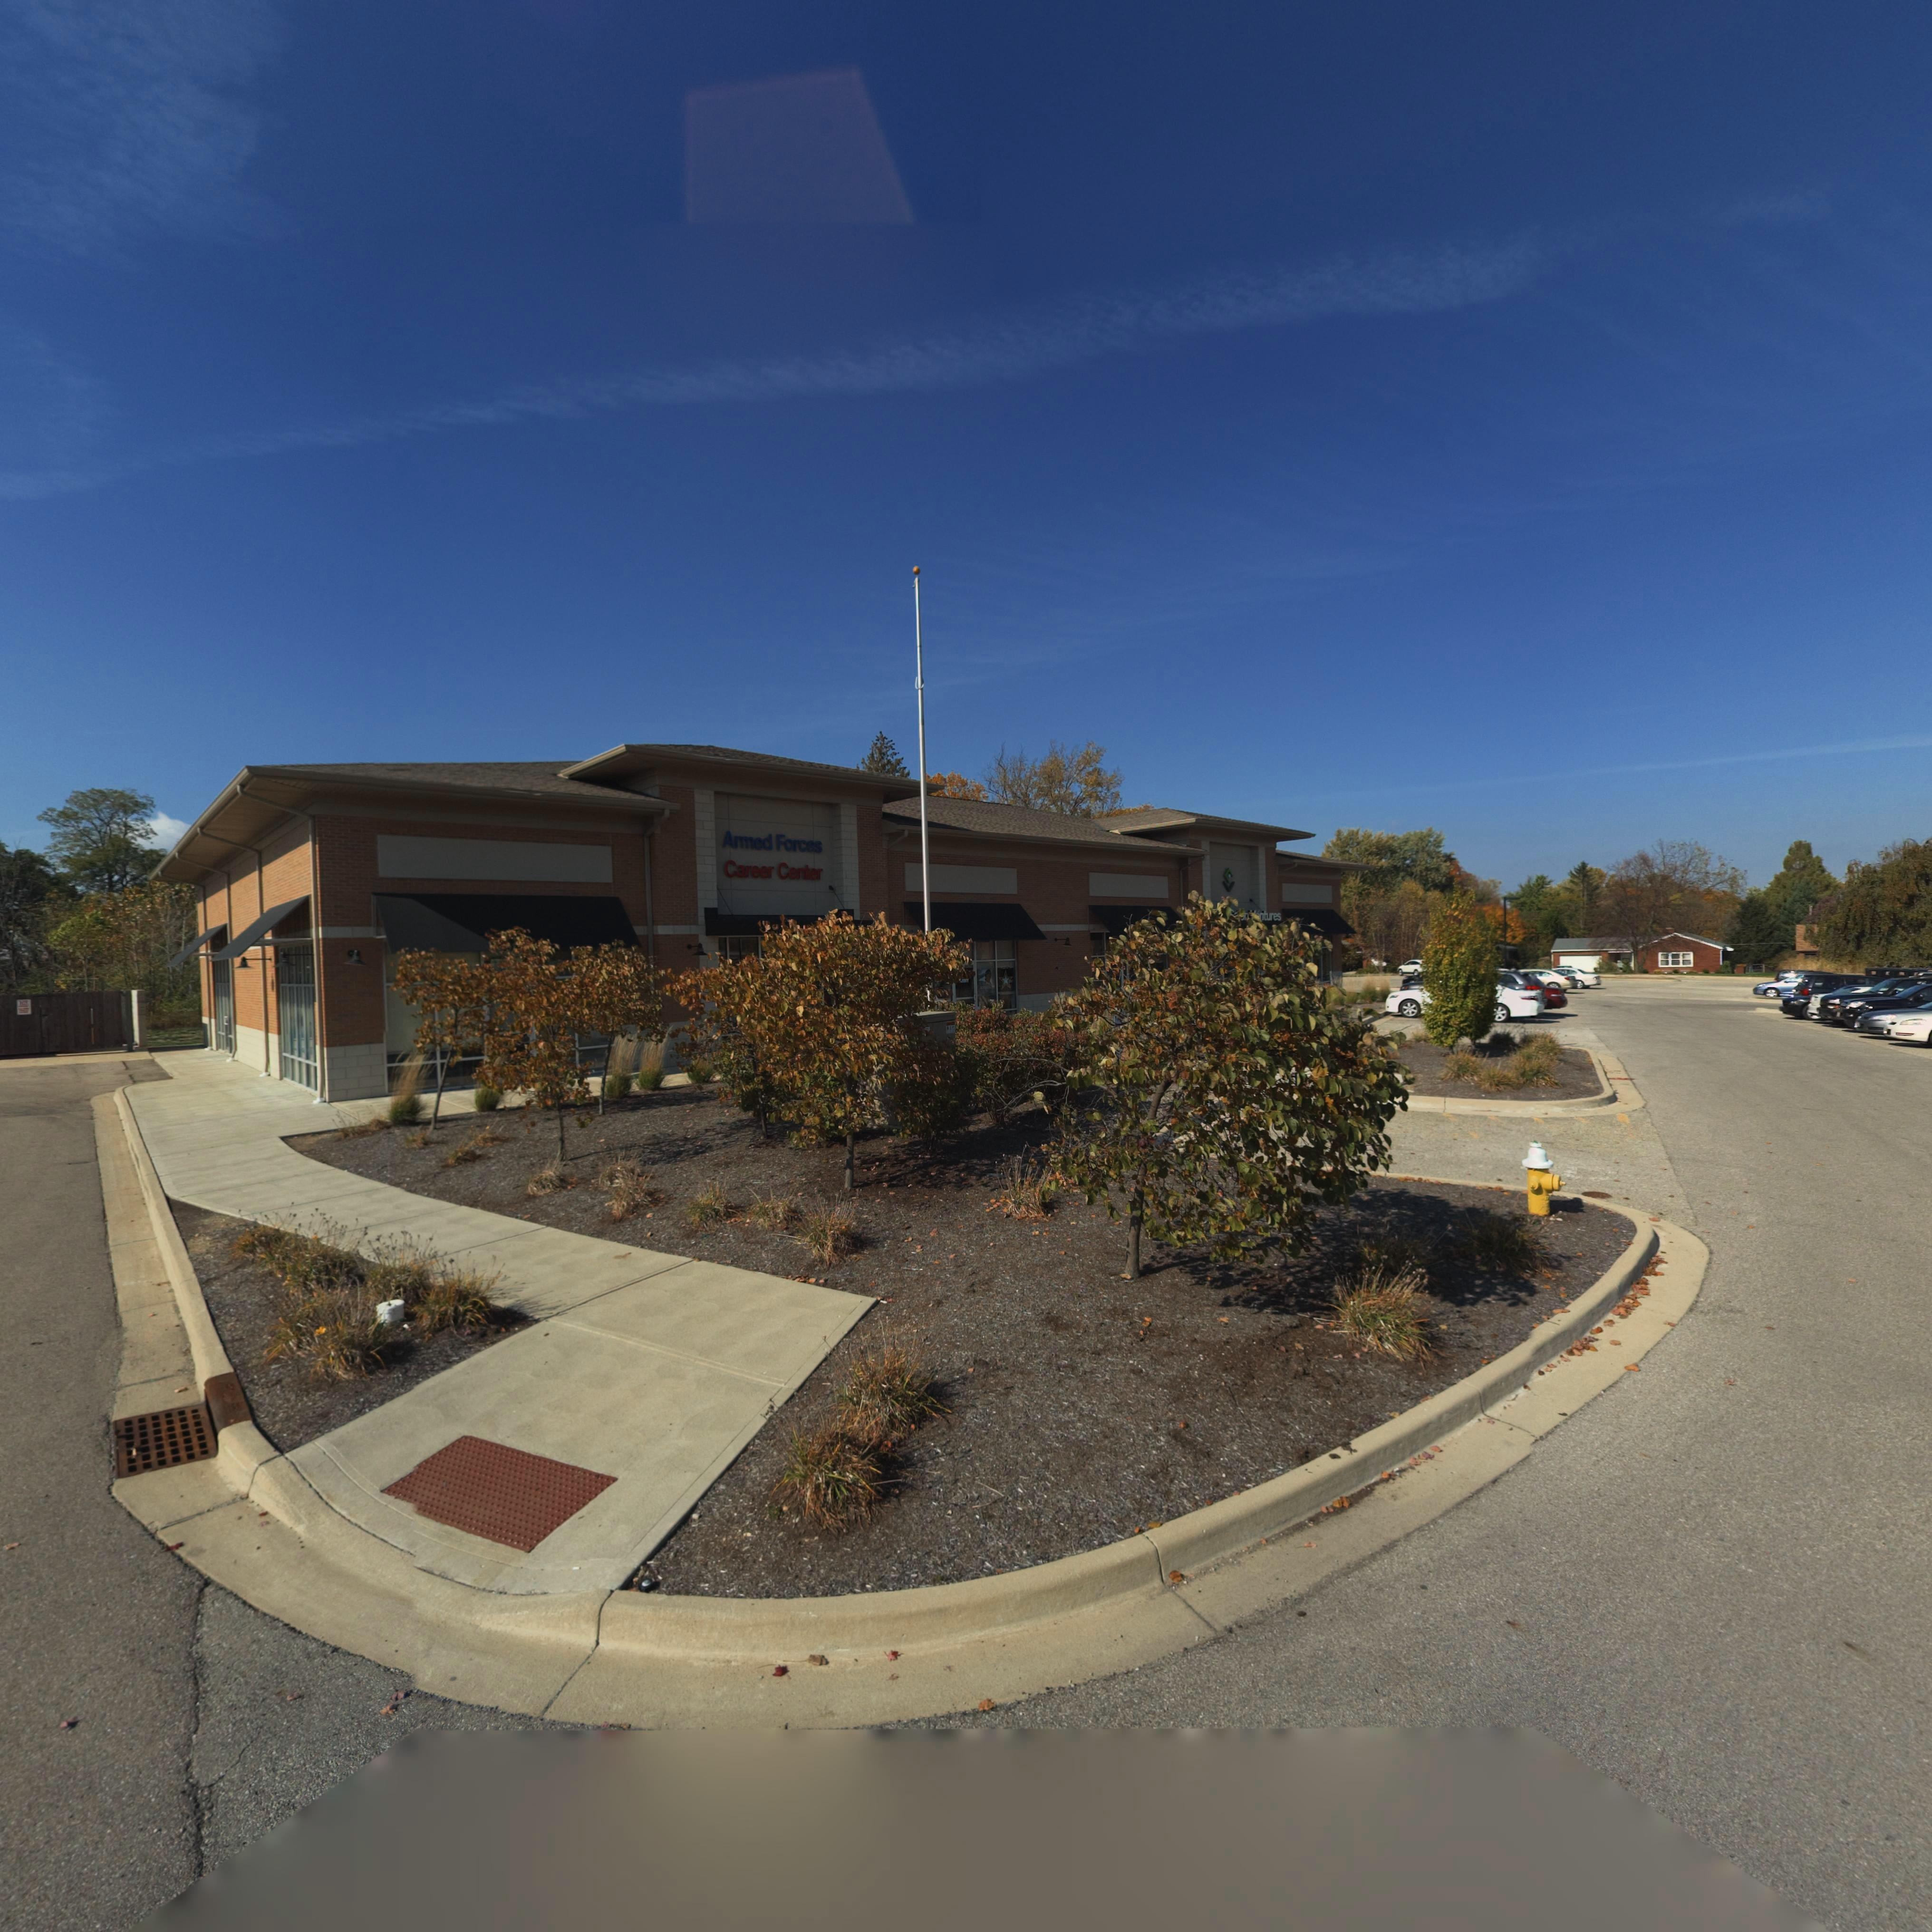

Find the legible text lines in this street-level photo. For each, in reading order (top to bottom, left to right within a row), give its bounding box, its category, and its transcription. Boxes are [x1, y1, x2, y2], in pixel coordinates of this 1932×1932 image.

[721, 829, 824, 854] BusinessName: Armed Forces
[723, 859, 824, 881] BusinessName: Career Center
[1262, 909, 1282, 922] BusinessName: tures